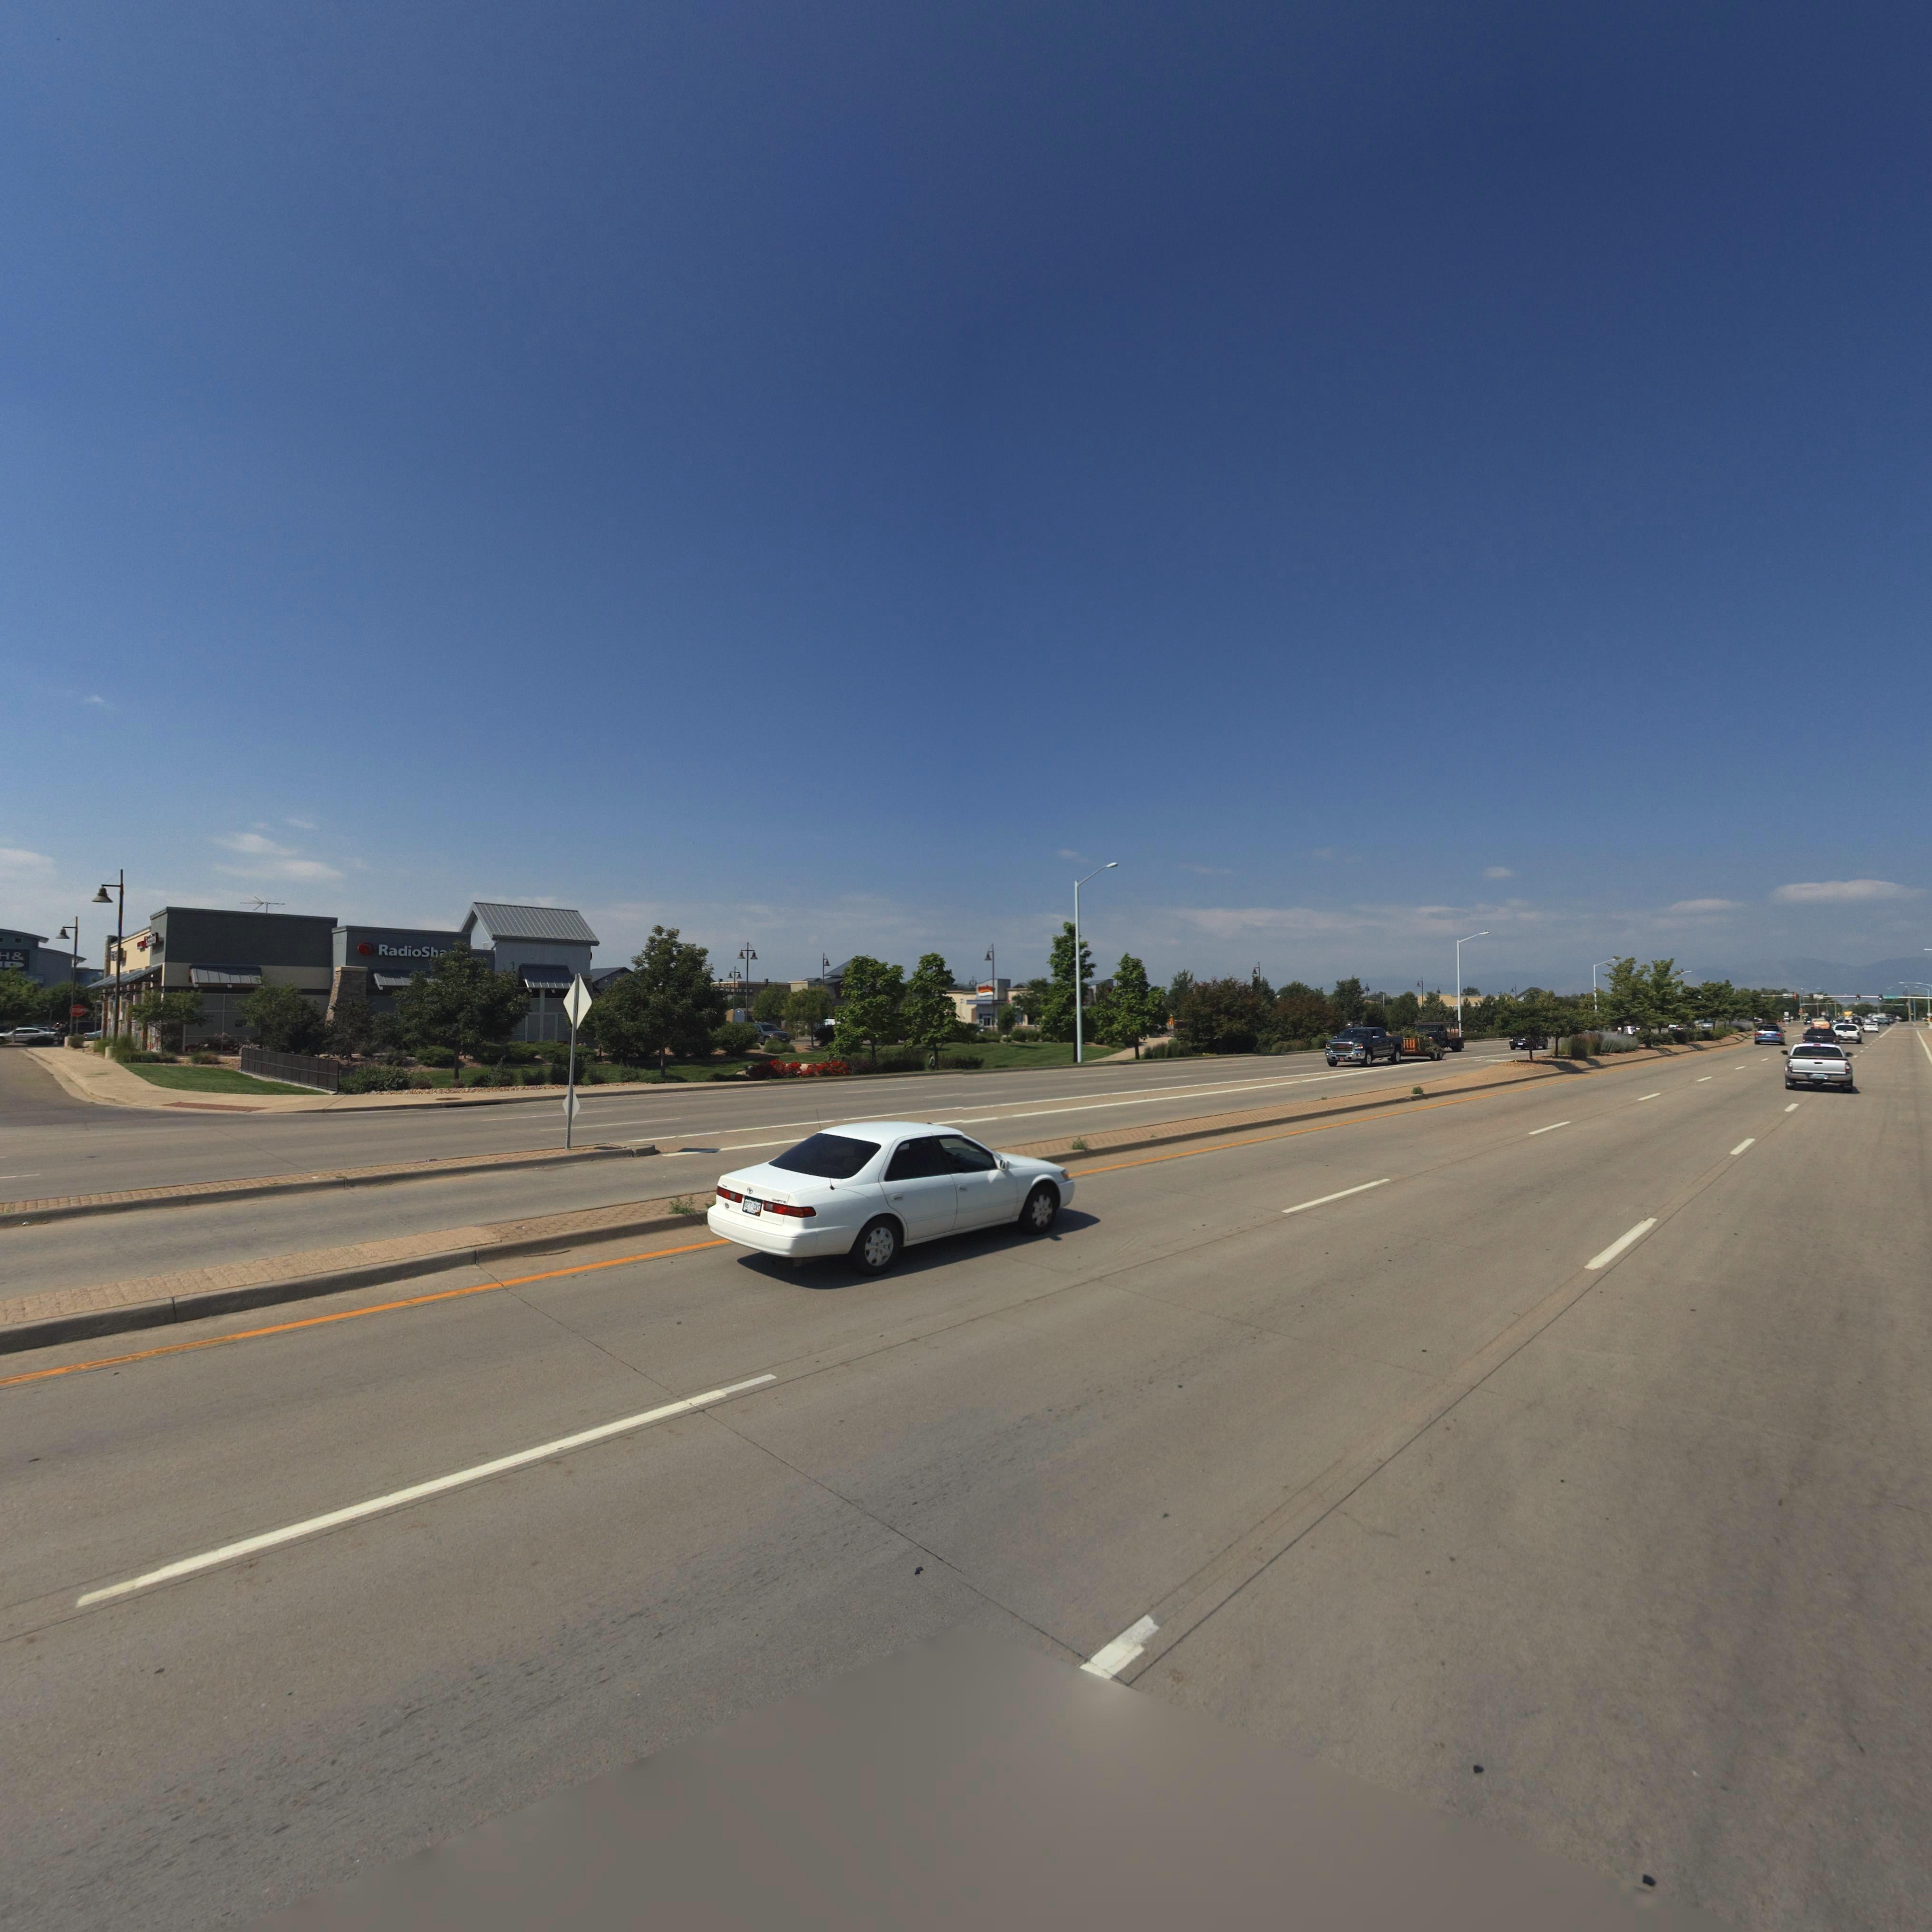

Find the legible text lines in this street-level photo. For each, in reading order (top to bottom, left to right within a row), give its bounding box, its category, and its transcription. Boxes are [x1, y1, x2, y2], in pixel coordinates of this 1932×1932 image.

[377, 944, 448, 958] BusinessName: RadioSh*